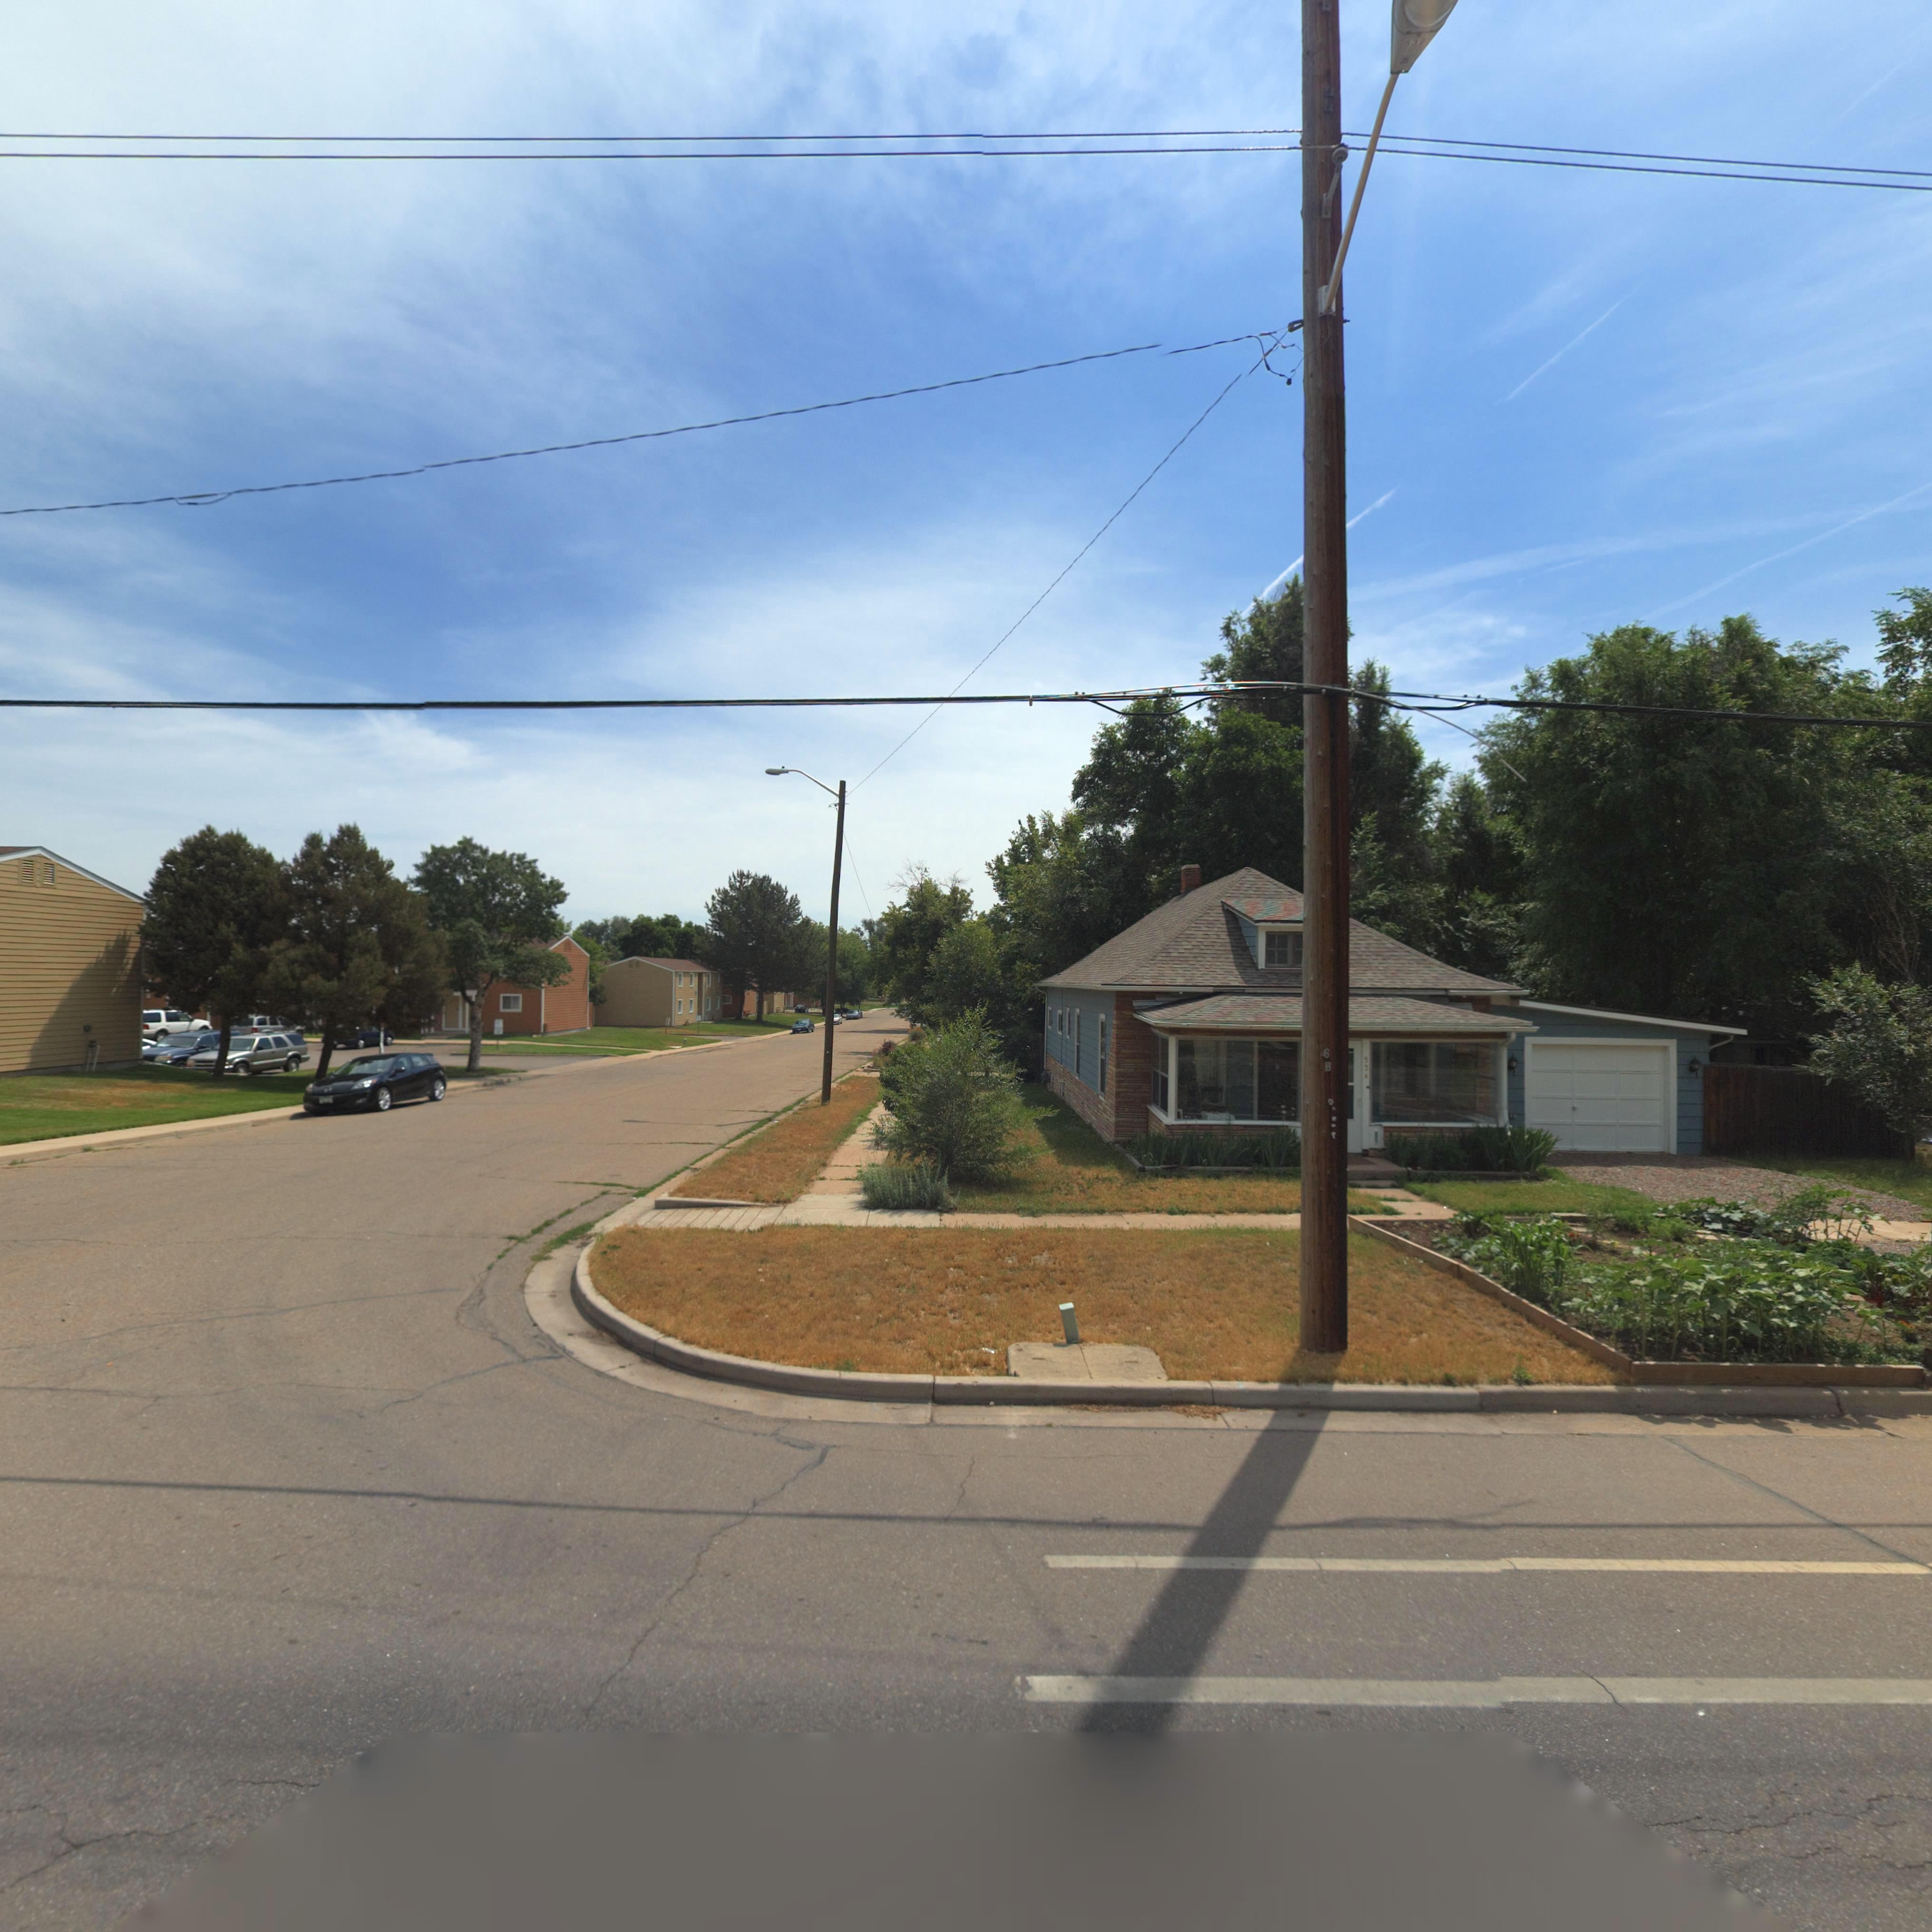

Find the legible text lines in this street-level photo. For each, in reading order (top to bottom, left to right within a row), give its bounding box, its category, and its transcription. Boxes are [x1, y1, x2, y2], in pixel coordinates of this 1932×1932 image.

[1364, 1056, 1368, 1078] StreetNumber: 534